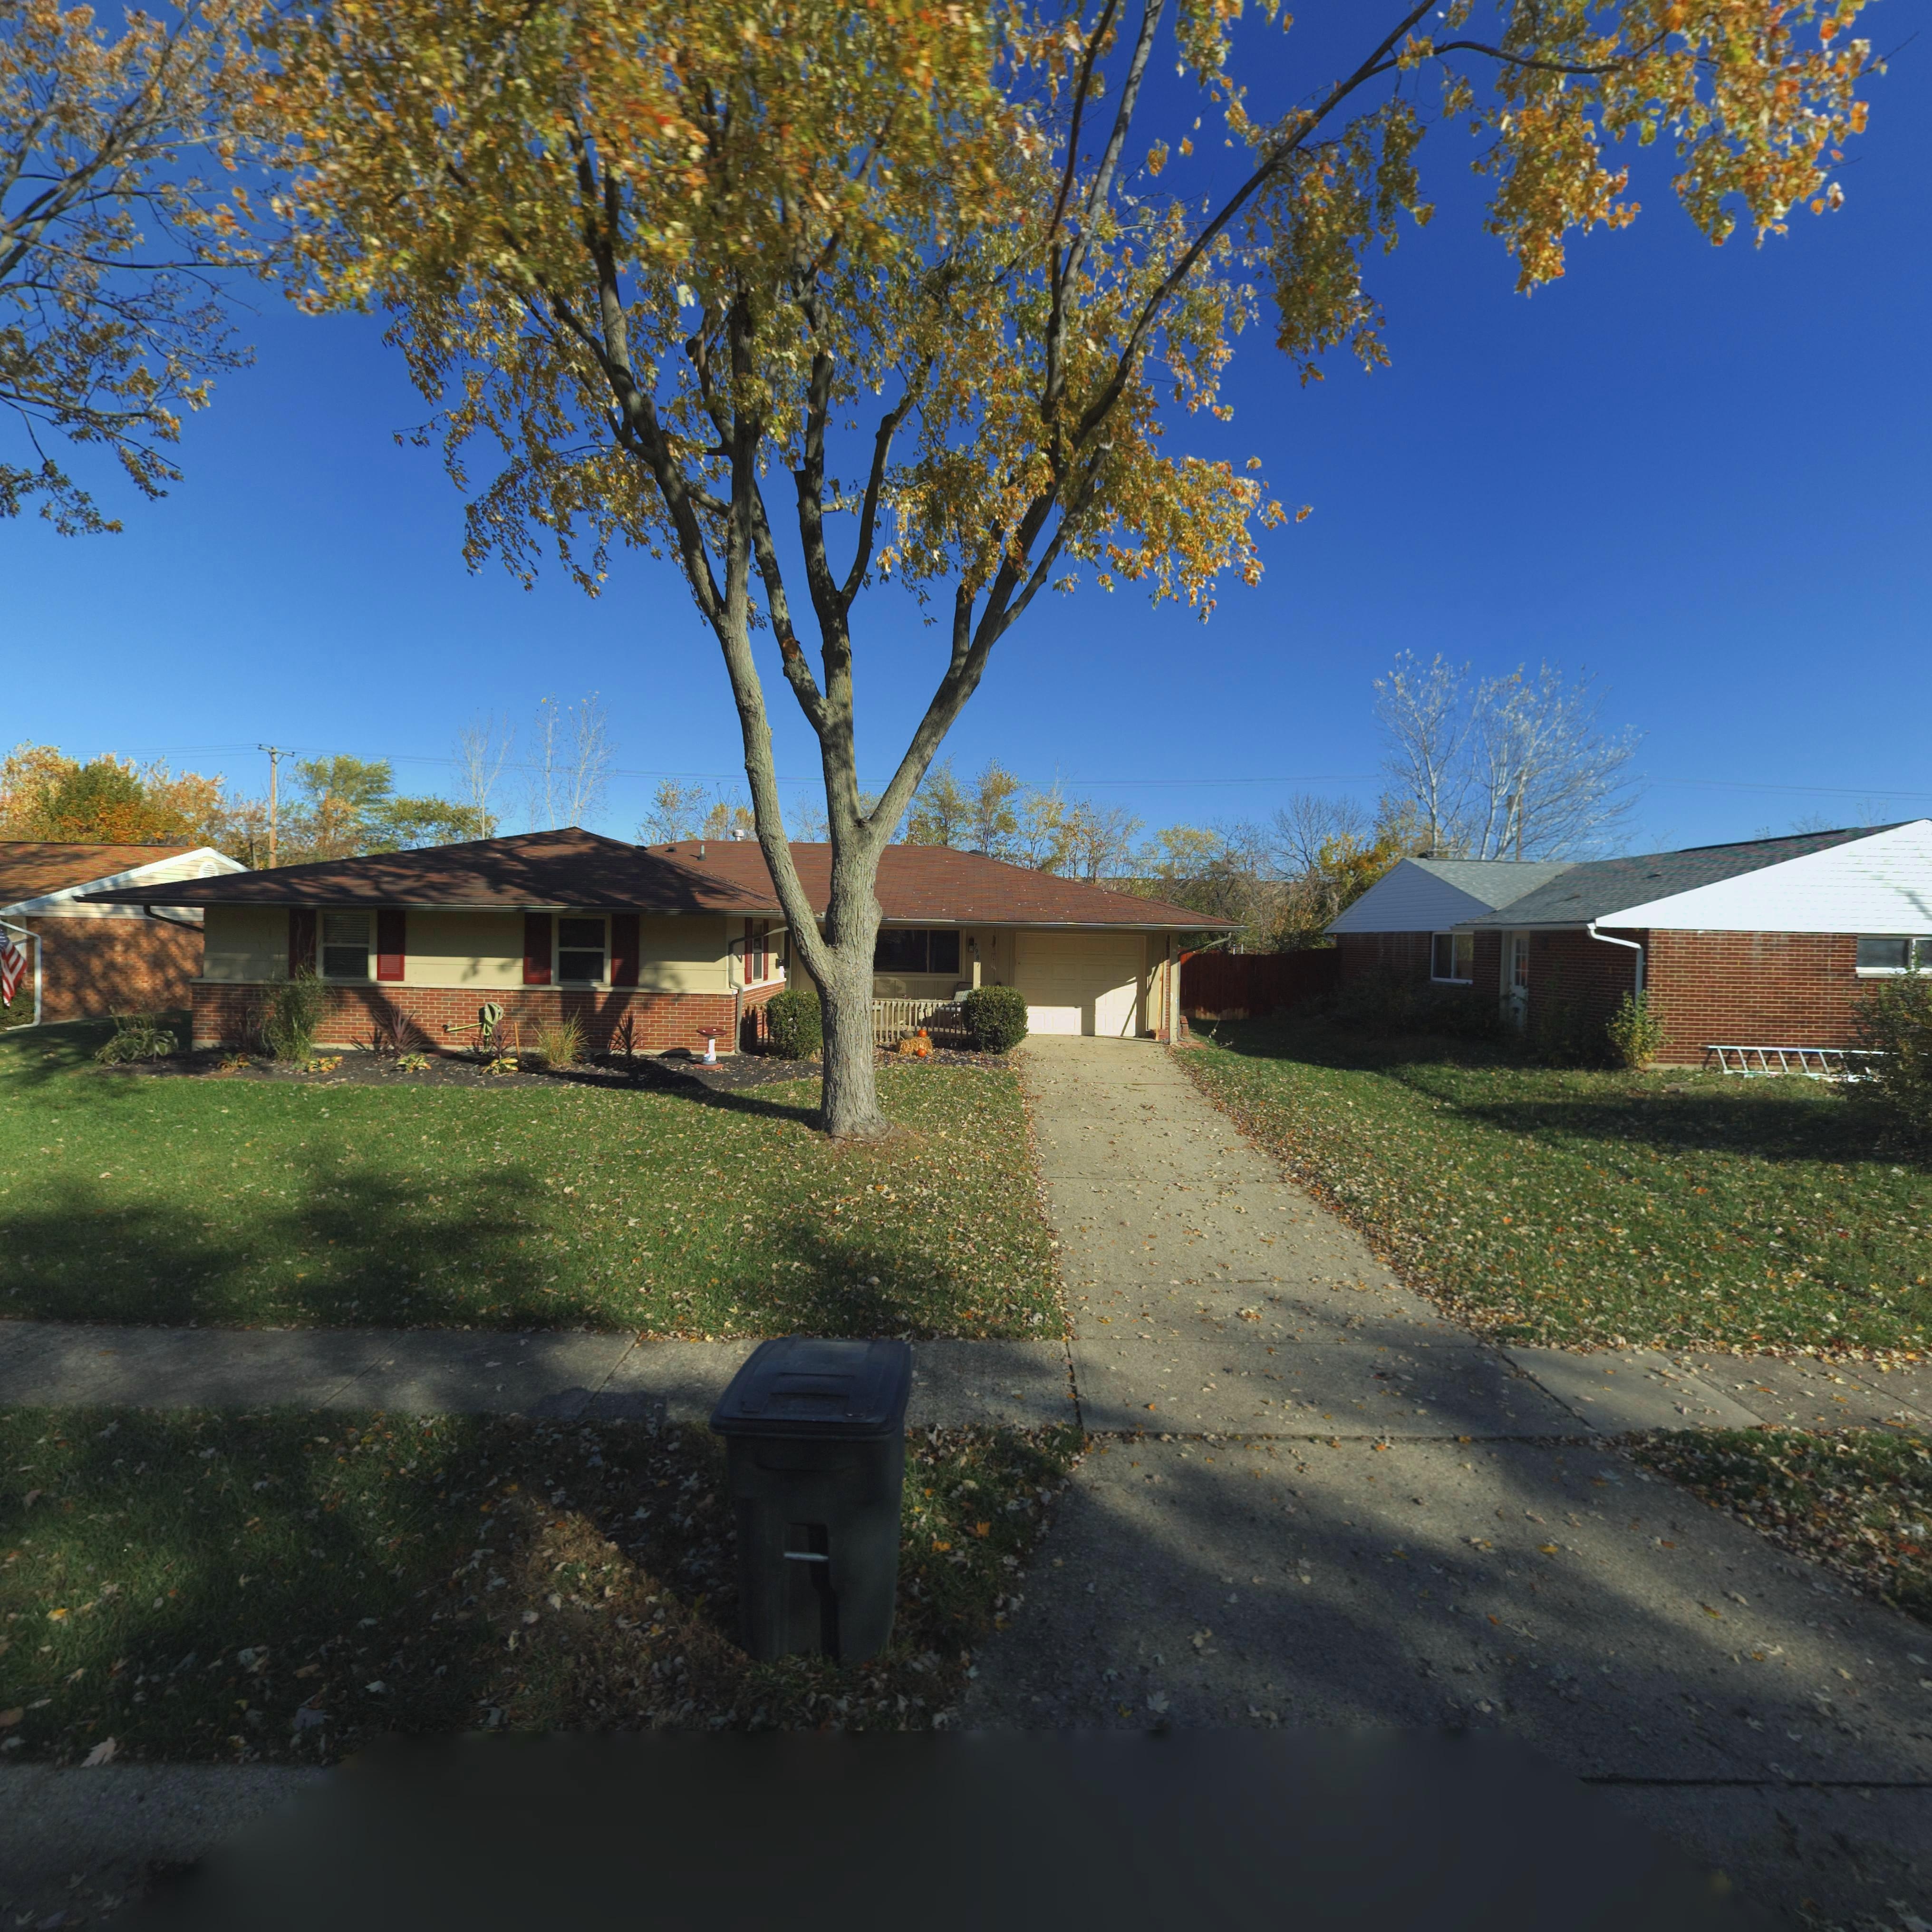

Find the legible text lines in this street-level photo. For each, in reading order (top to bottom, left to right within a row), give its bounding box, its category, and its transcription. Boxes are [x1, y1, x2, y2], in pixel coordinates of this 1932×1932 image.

[973, 942, 981, 969] StreetNumber: 7987